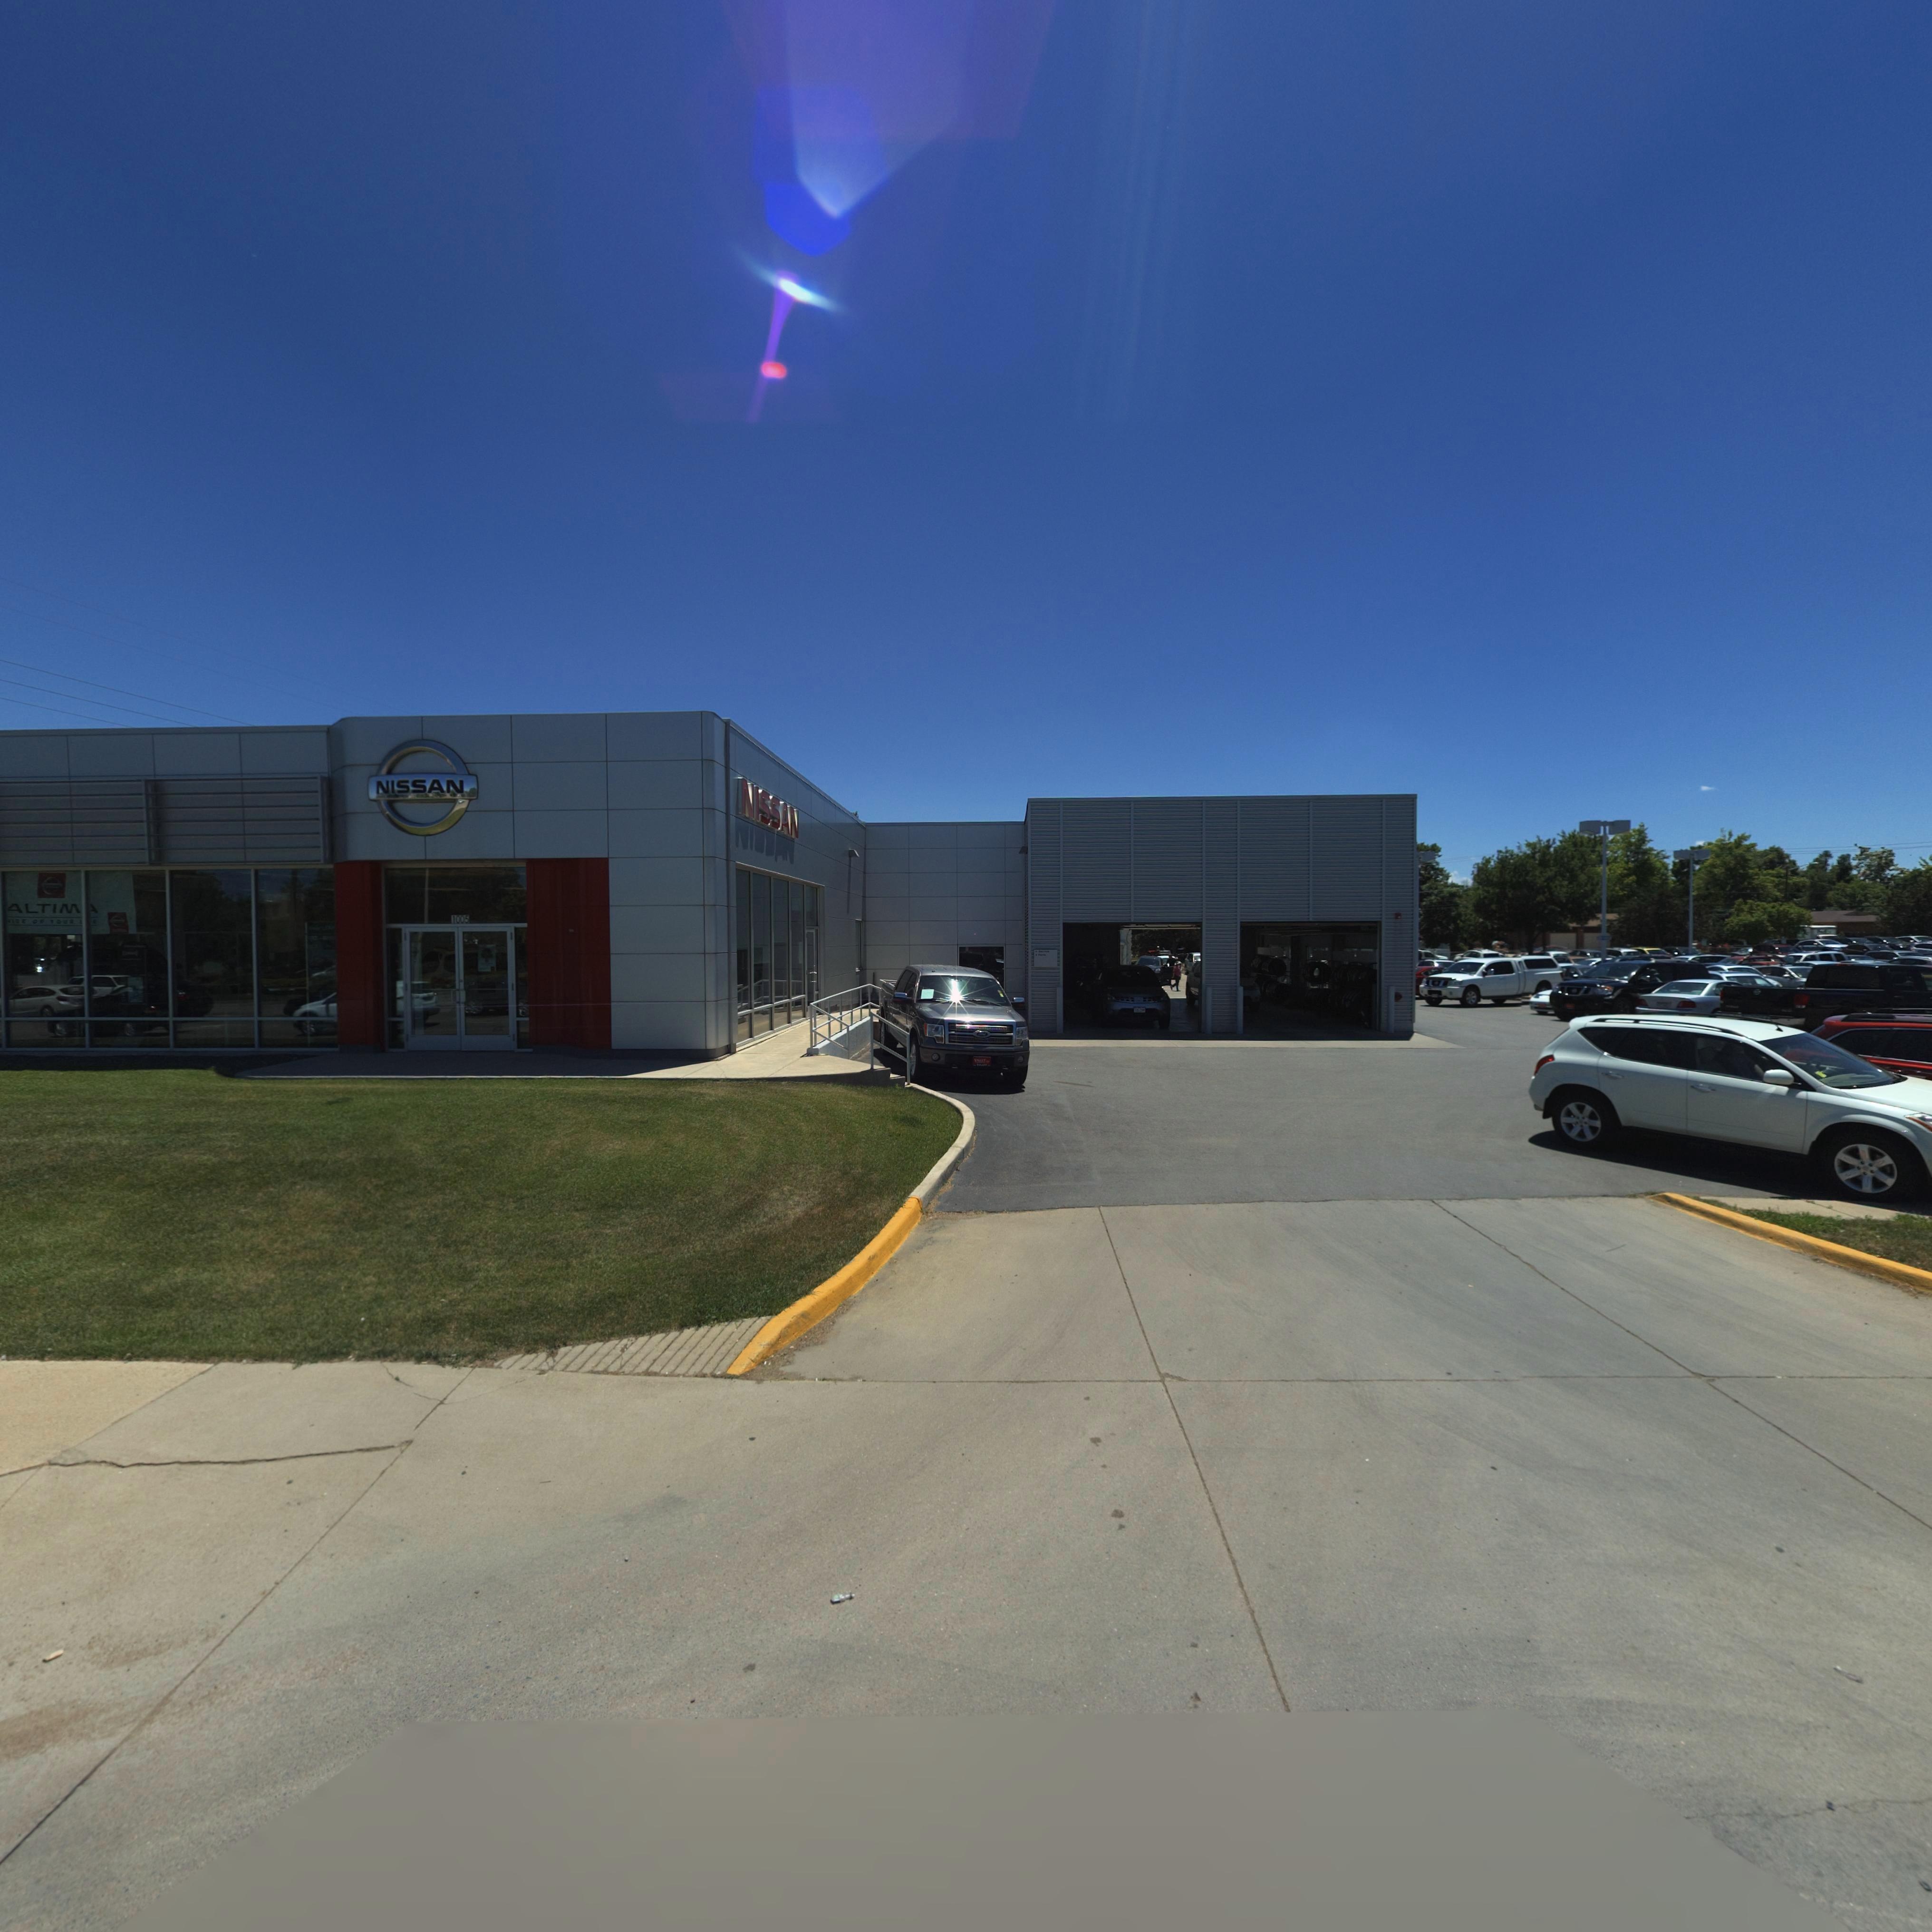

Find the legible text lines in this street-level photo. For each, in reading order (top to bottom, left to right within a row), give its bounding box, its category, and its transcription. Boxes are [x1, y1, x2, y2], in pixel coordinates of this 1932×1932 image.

[376, 779, 464, 794] BusinessName: NISSAN
[741, 777, 800, 841] BusinessName: NISSAN
[453, 915, 470, 924] StreetNumber: 1005